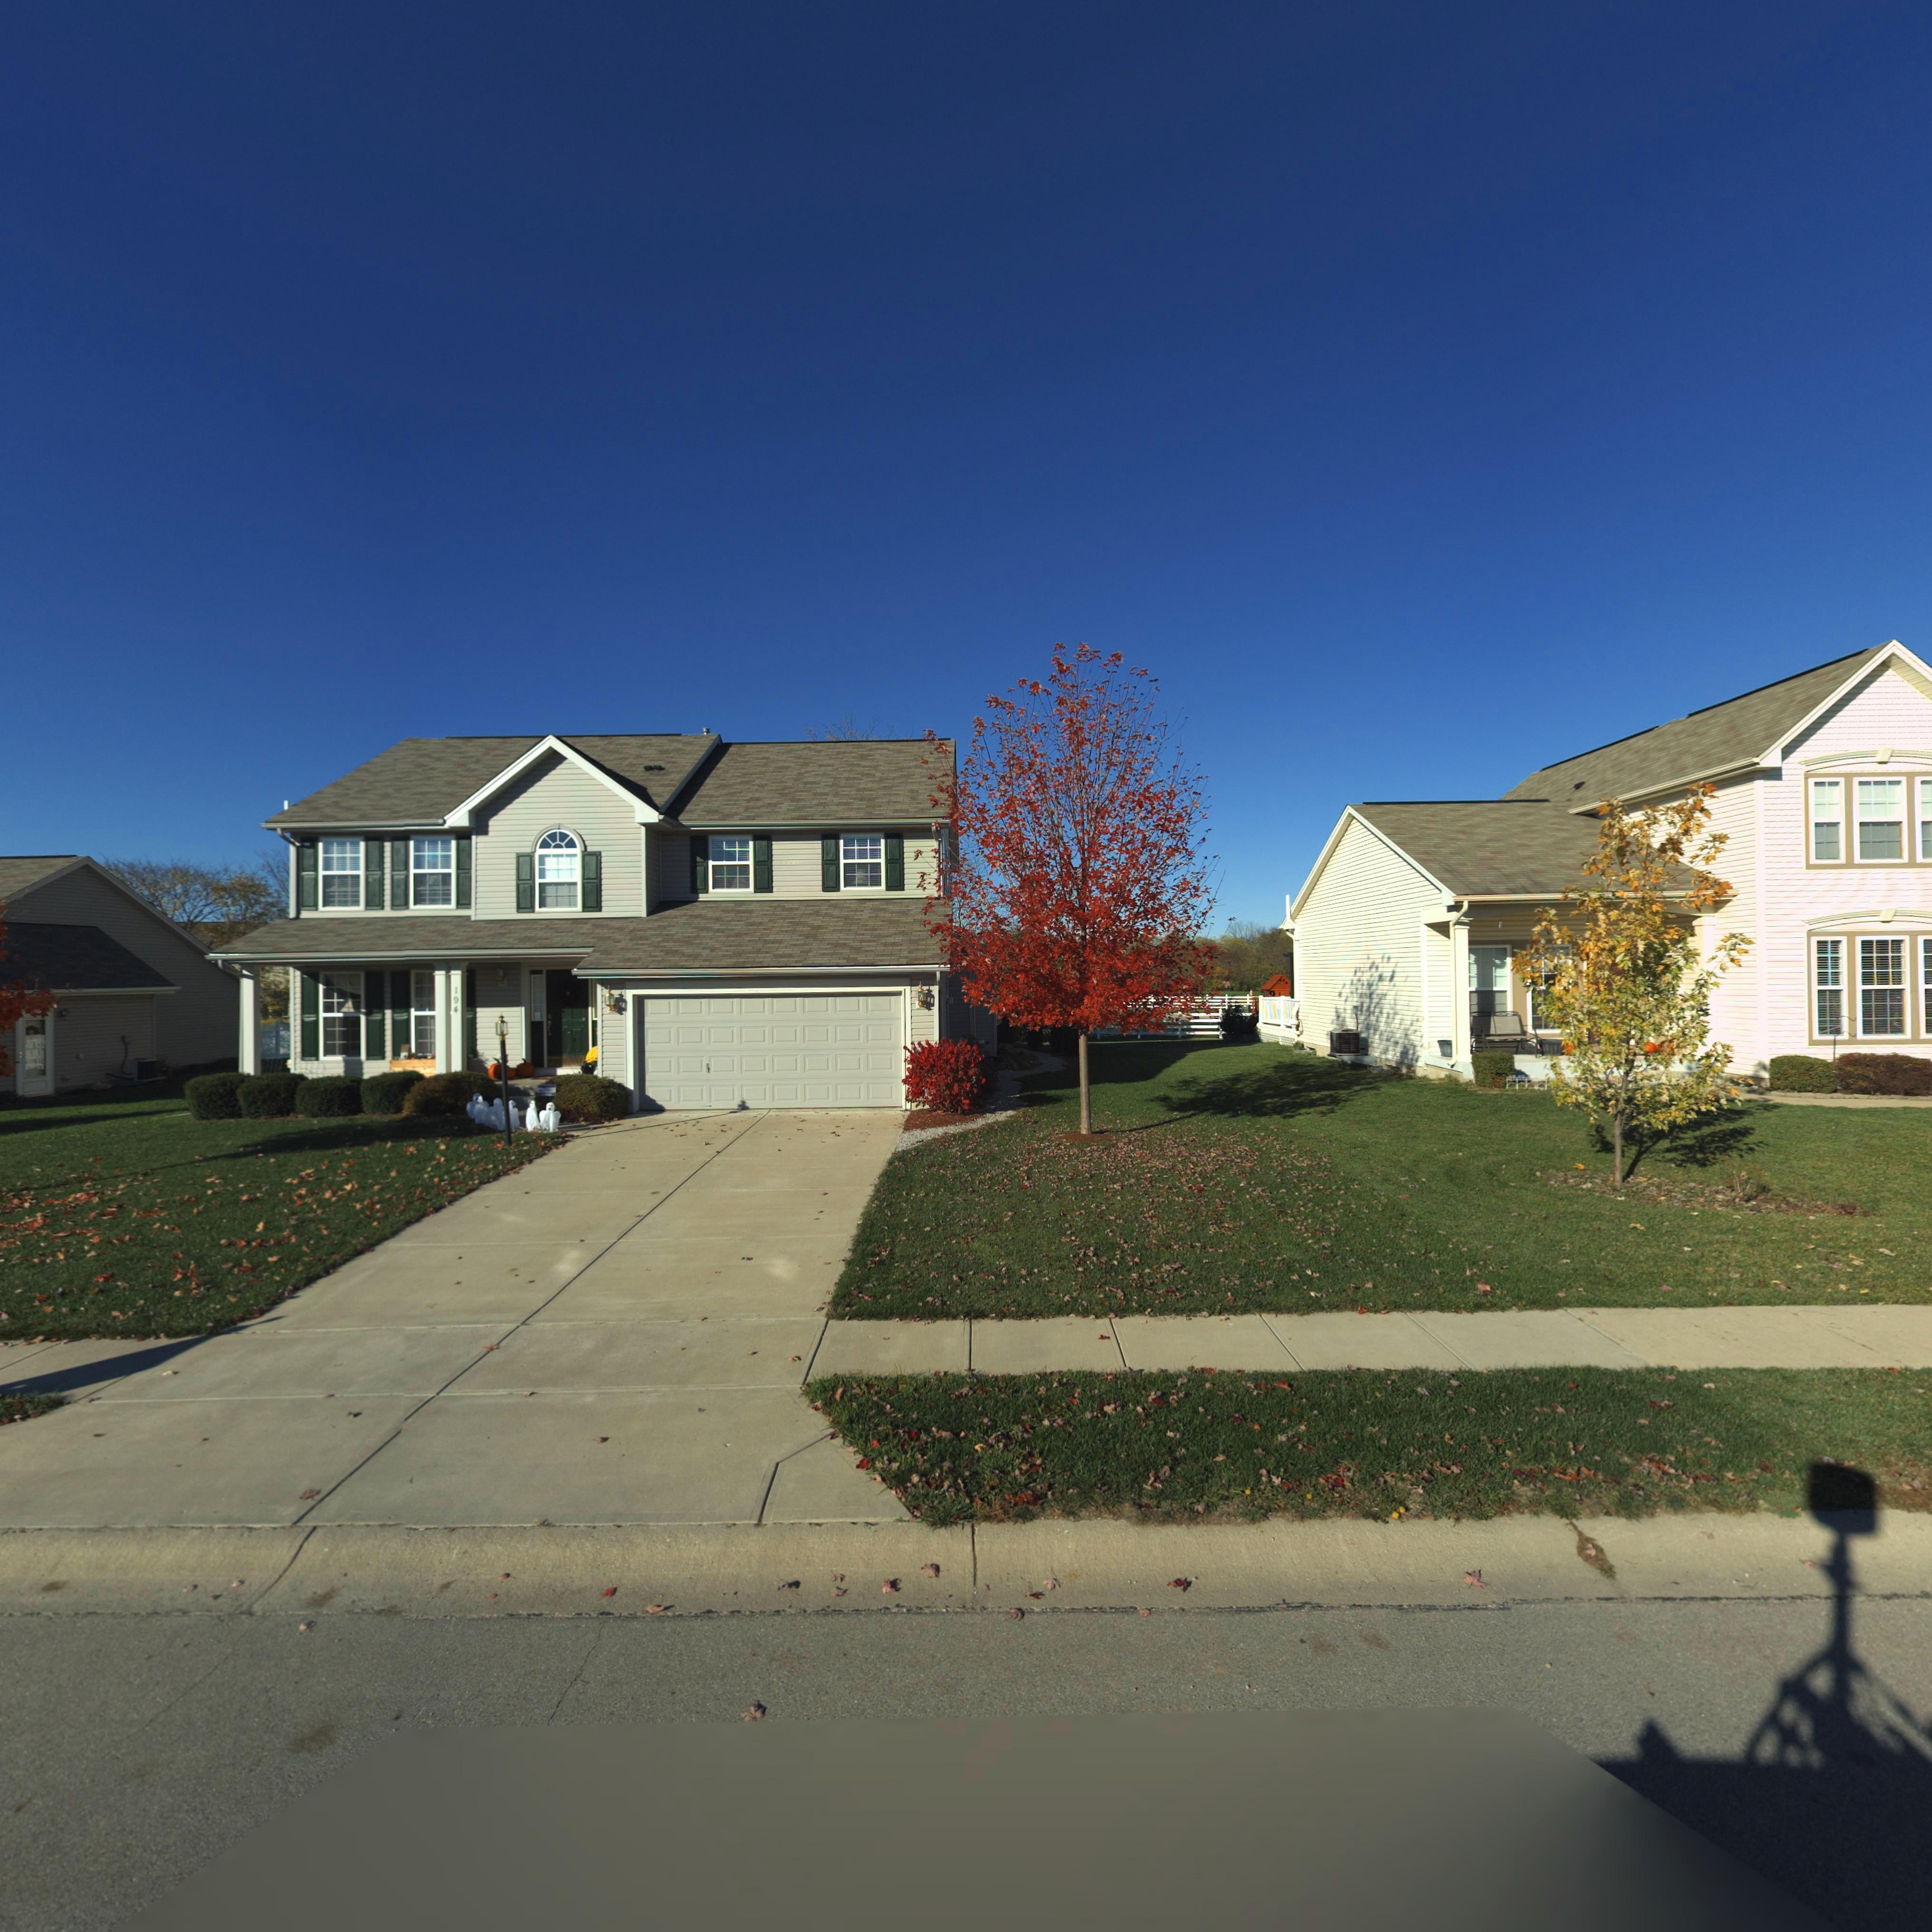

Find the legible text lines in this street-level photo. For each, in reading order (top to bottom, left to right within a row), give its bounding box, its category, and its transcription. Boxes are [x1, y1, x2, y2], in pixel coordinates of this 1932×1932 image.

[452, 985, 460, 1015] StreetNumber: 194